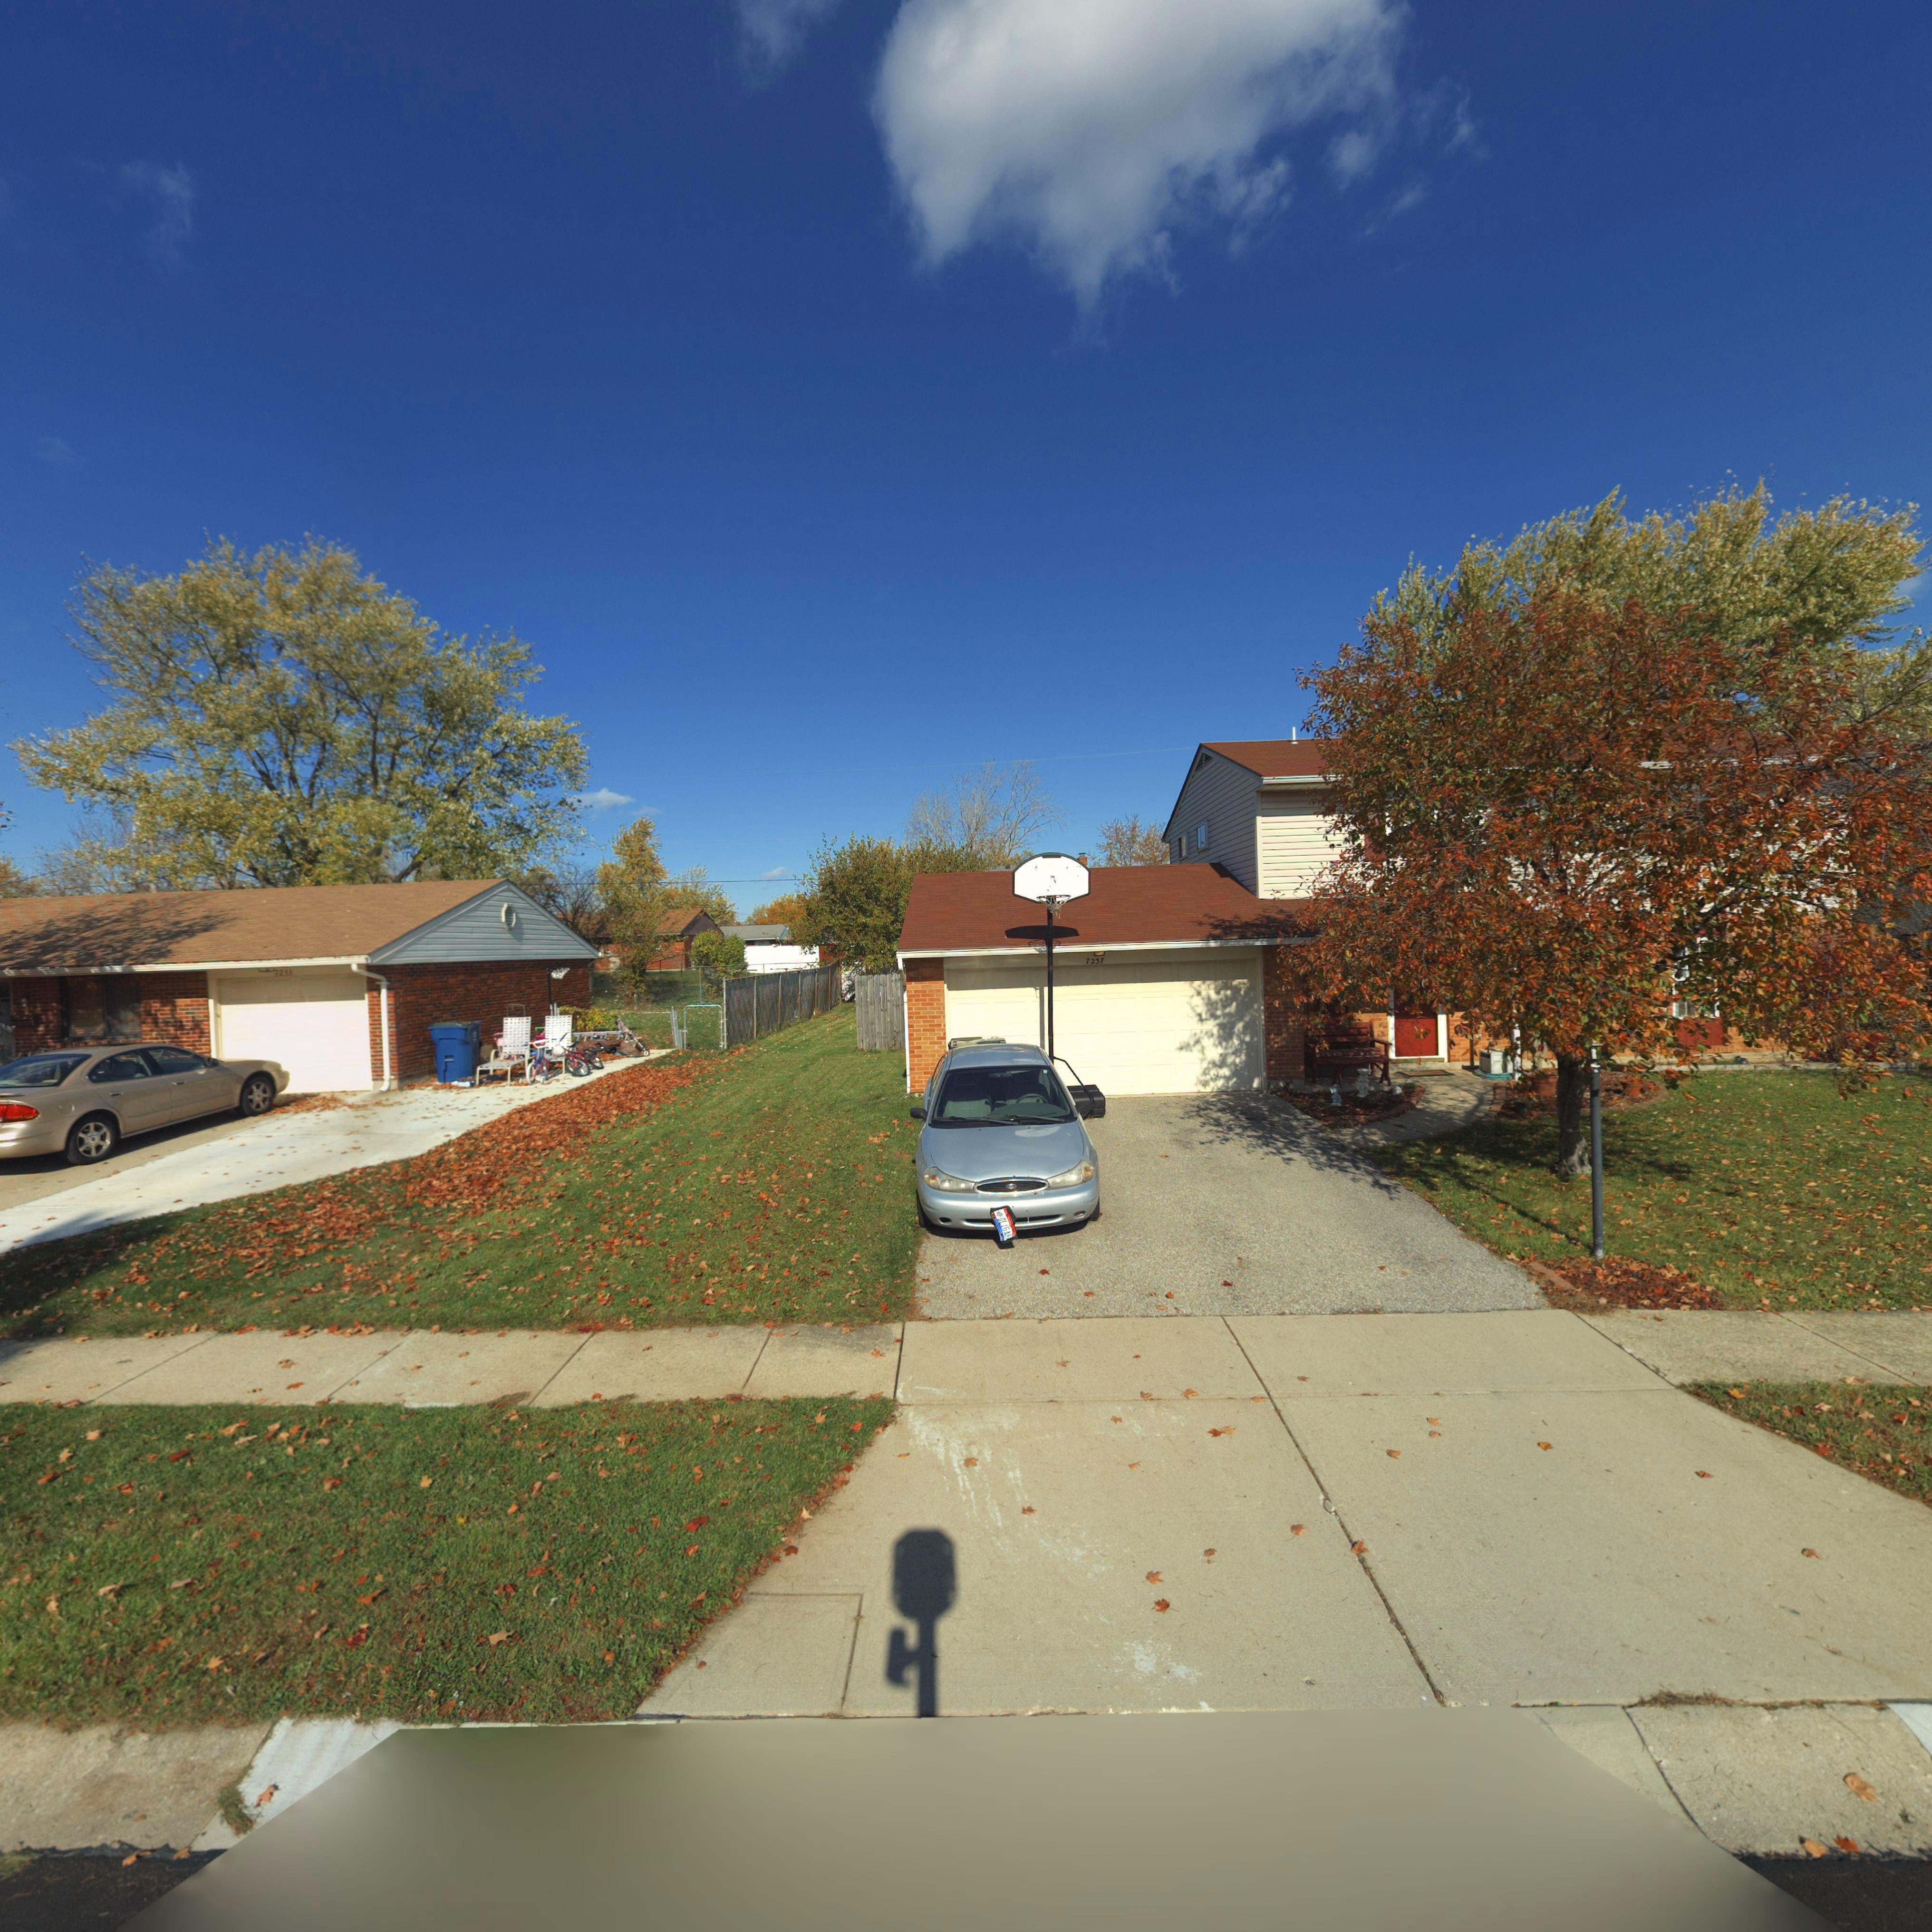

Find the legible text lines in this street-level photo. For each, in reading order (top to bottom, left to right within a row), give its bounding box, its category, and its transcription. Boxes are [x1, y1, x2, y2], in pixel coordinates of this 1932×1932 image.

[1085, 956, 1106, 965] StreetNumber: 7237
[273, 967, 294, 978] StreetNumber: 7233